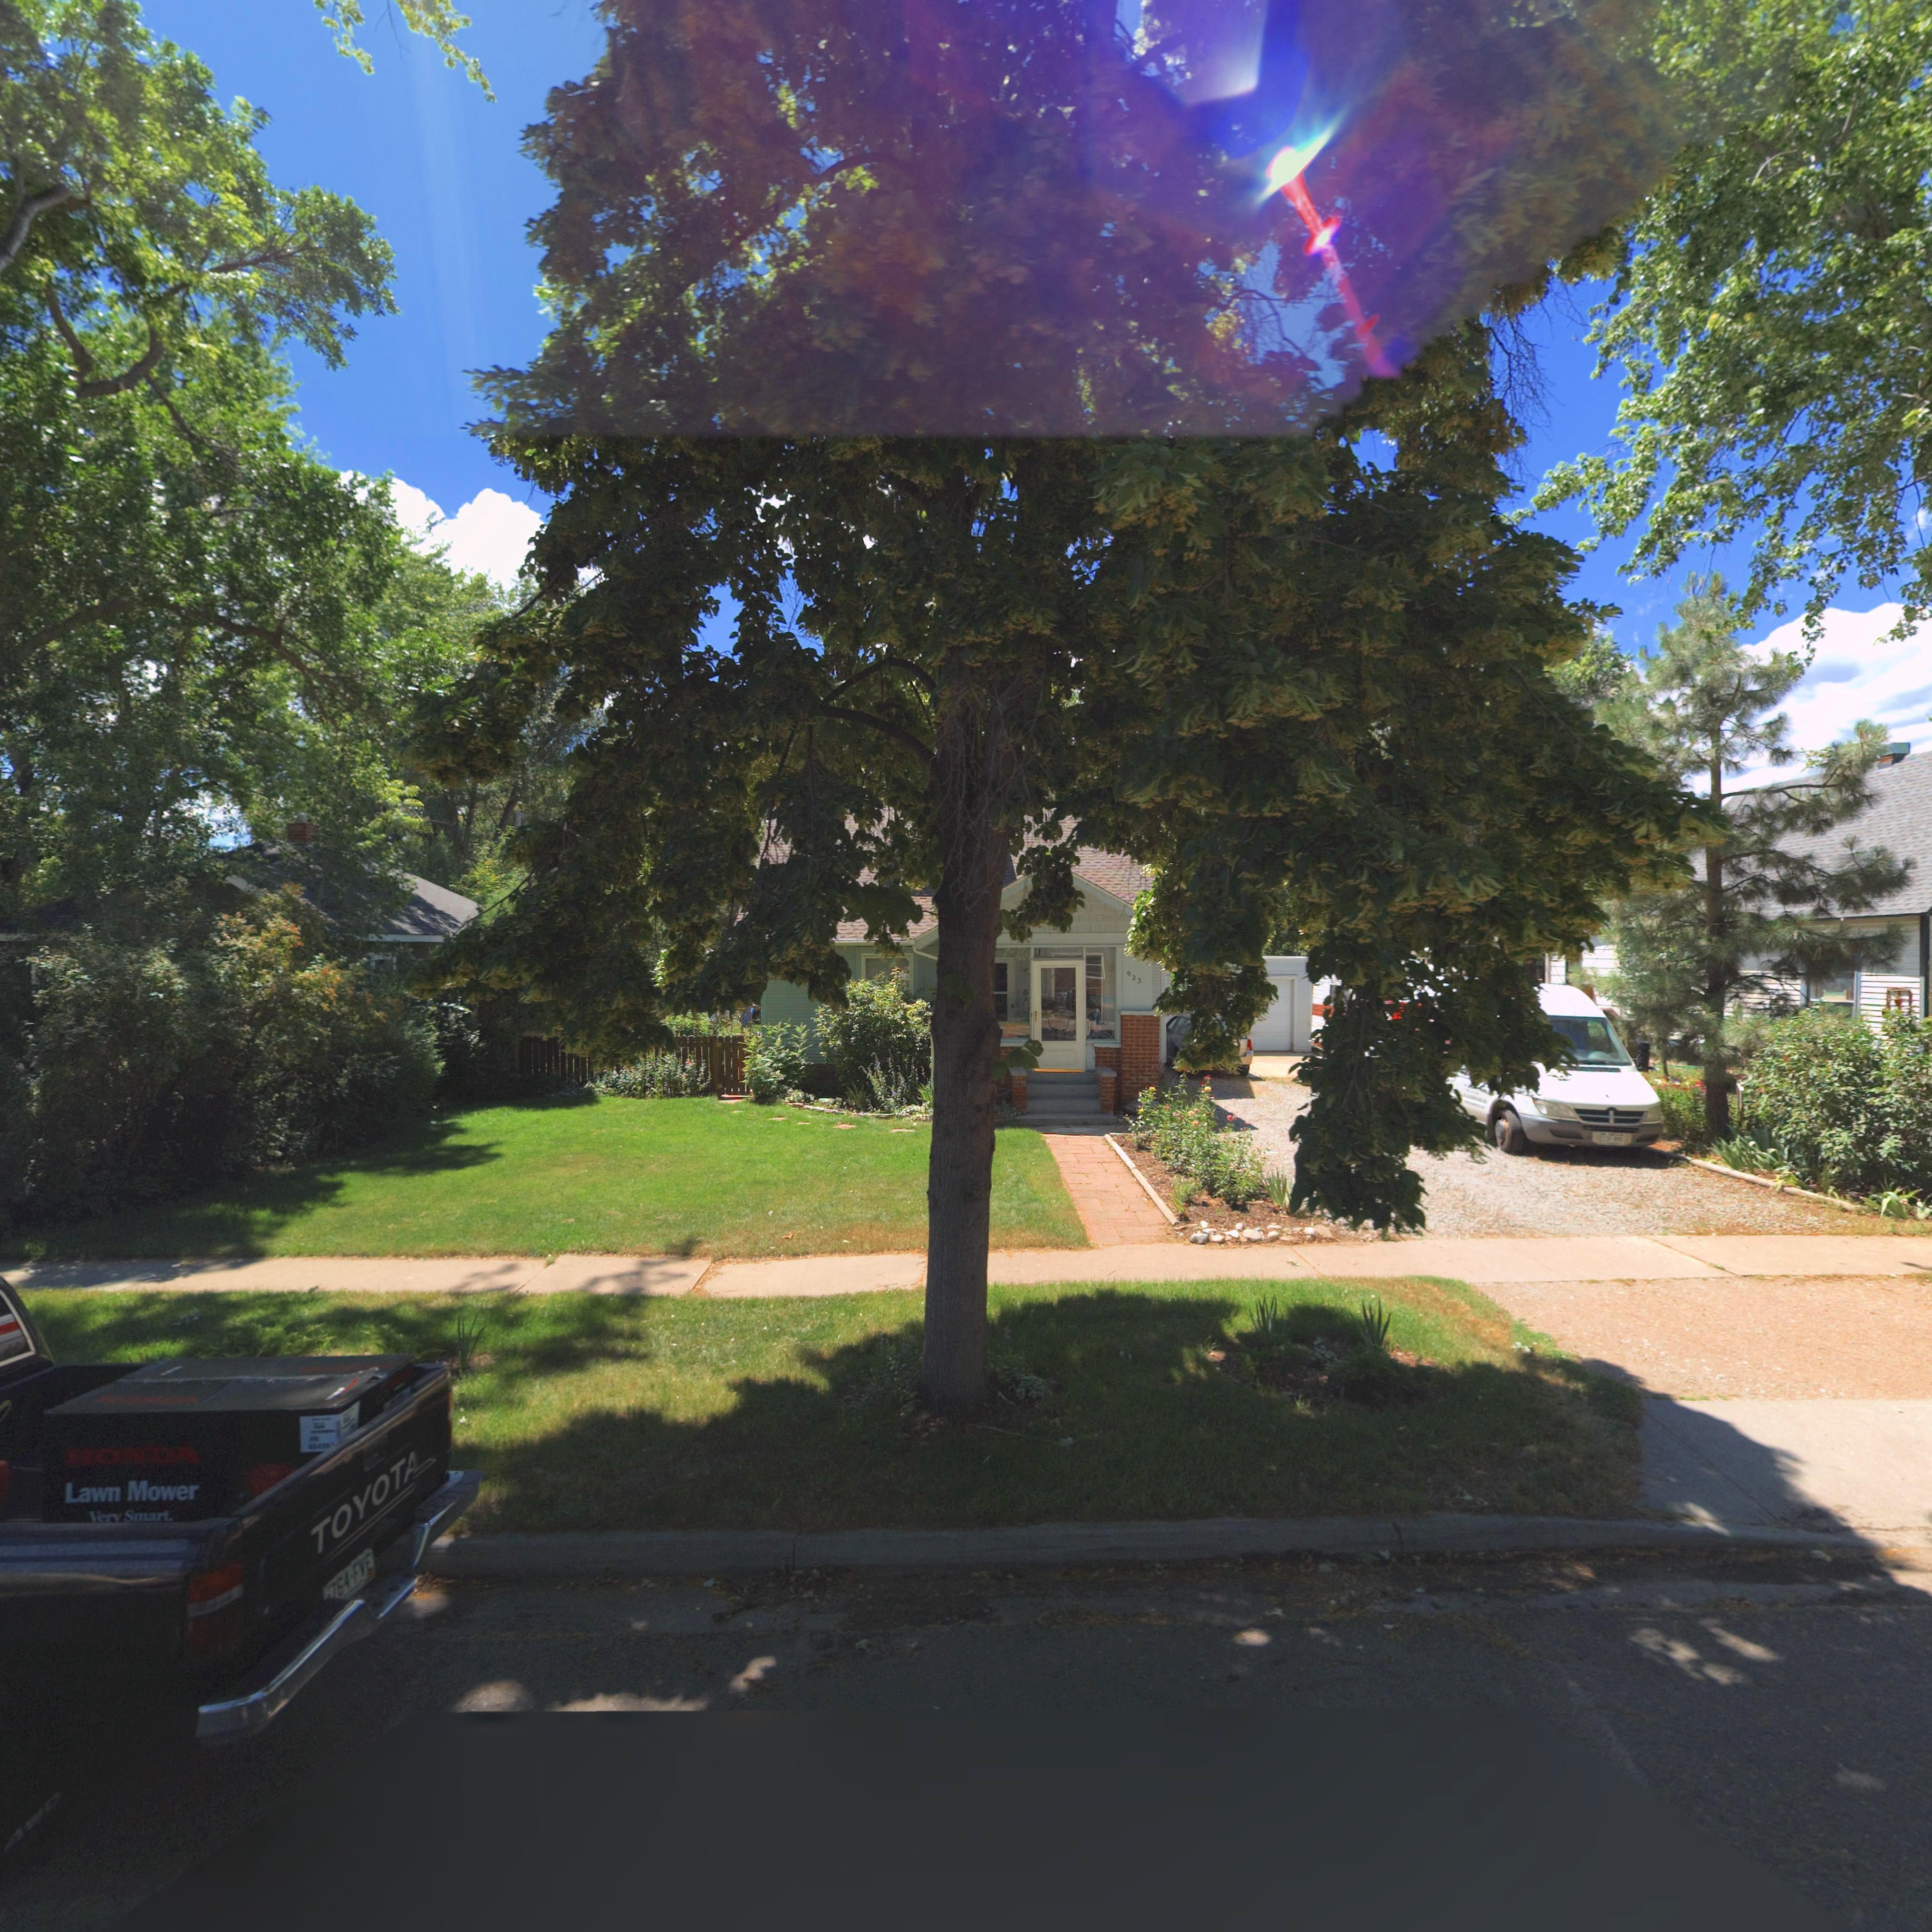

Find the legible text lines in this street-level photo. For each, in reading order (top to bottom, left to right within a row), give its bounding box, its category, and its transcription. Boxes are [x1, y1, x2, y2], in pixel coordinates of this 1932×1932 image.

[1126, 970, 1141, 984] StreetNumber: 923